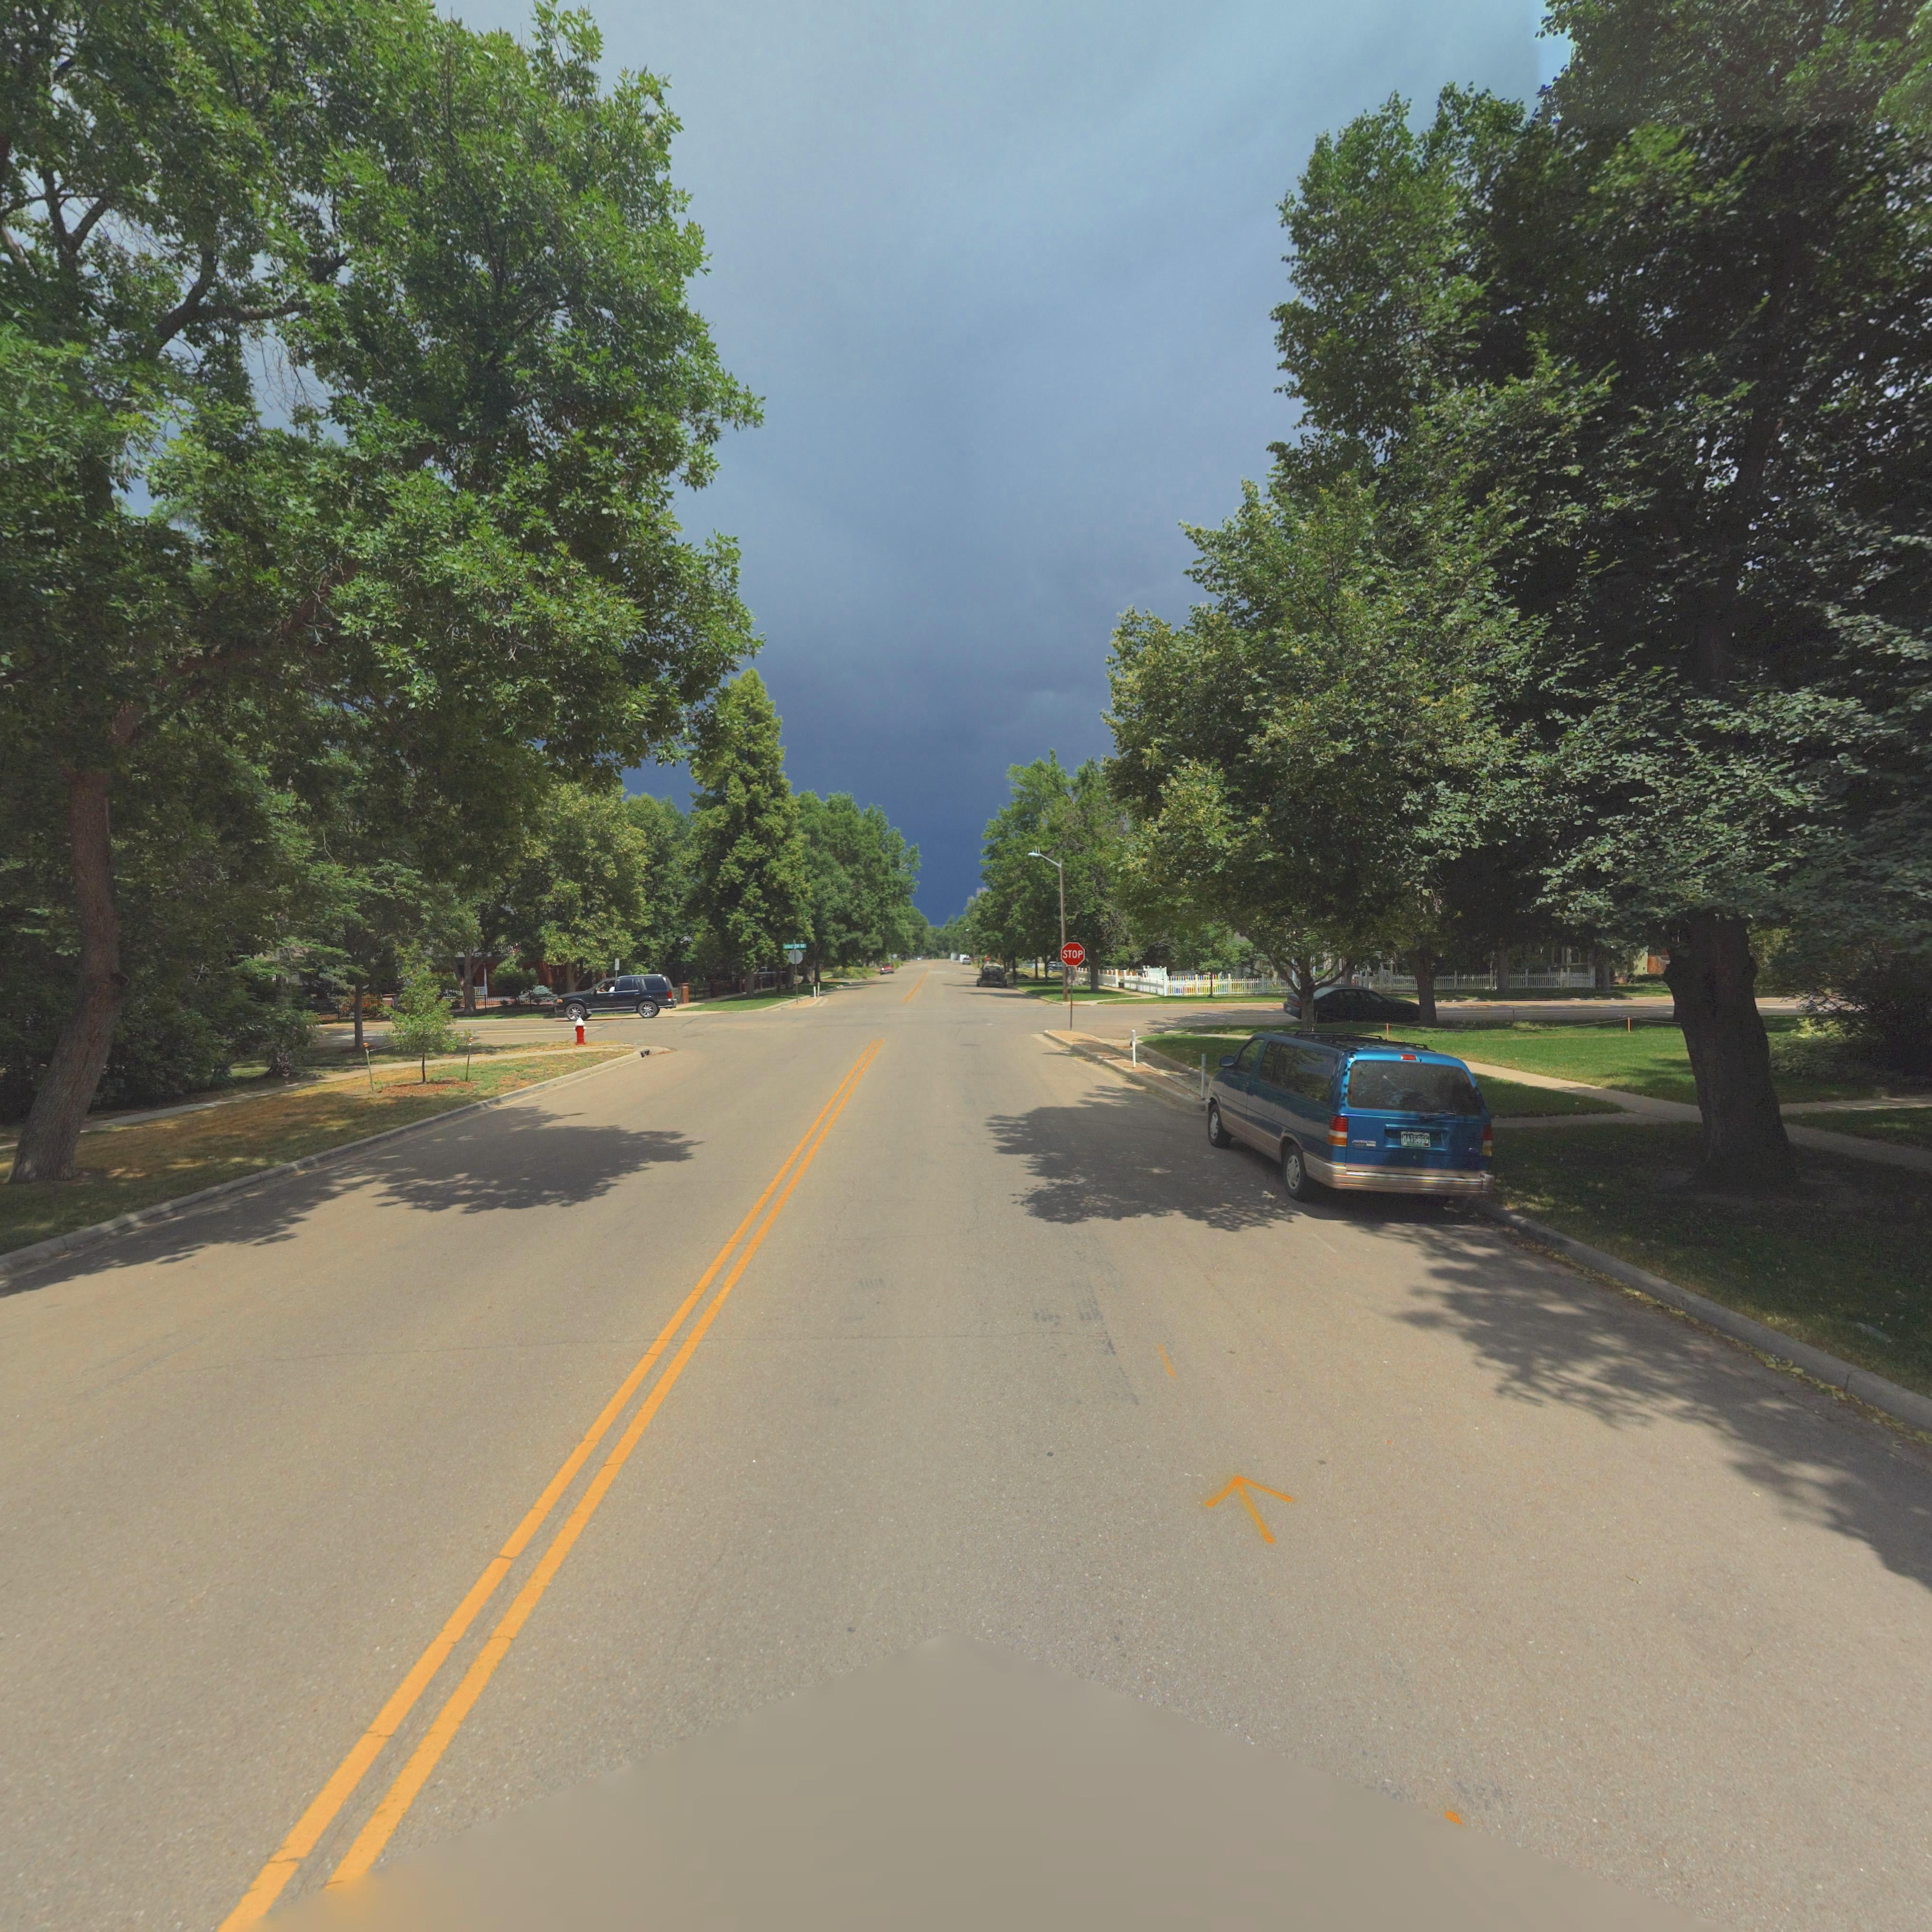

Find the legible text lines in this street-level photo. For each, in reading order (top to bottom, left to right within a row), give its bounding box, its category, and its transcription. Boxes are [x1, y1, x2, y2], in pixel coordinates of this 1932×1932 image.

[784, 944, 805, 948] StreetName: **** ST